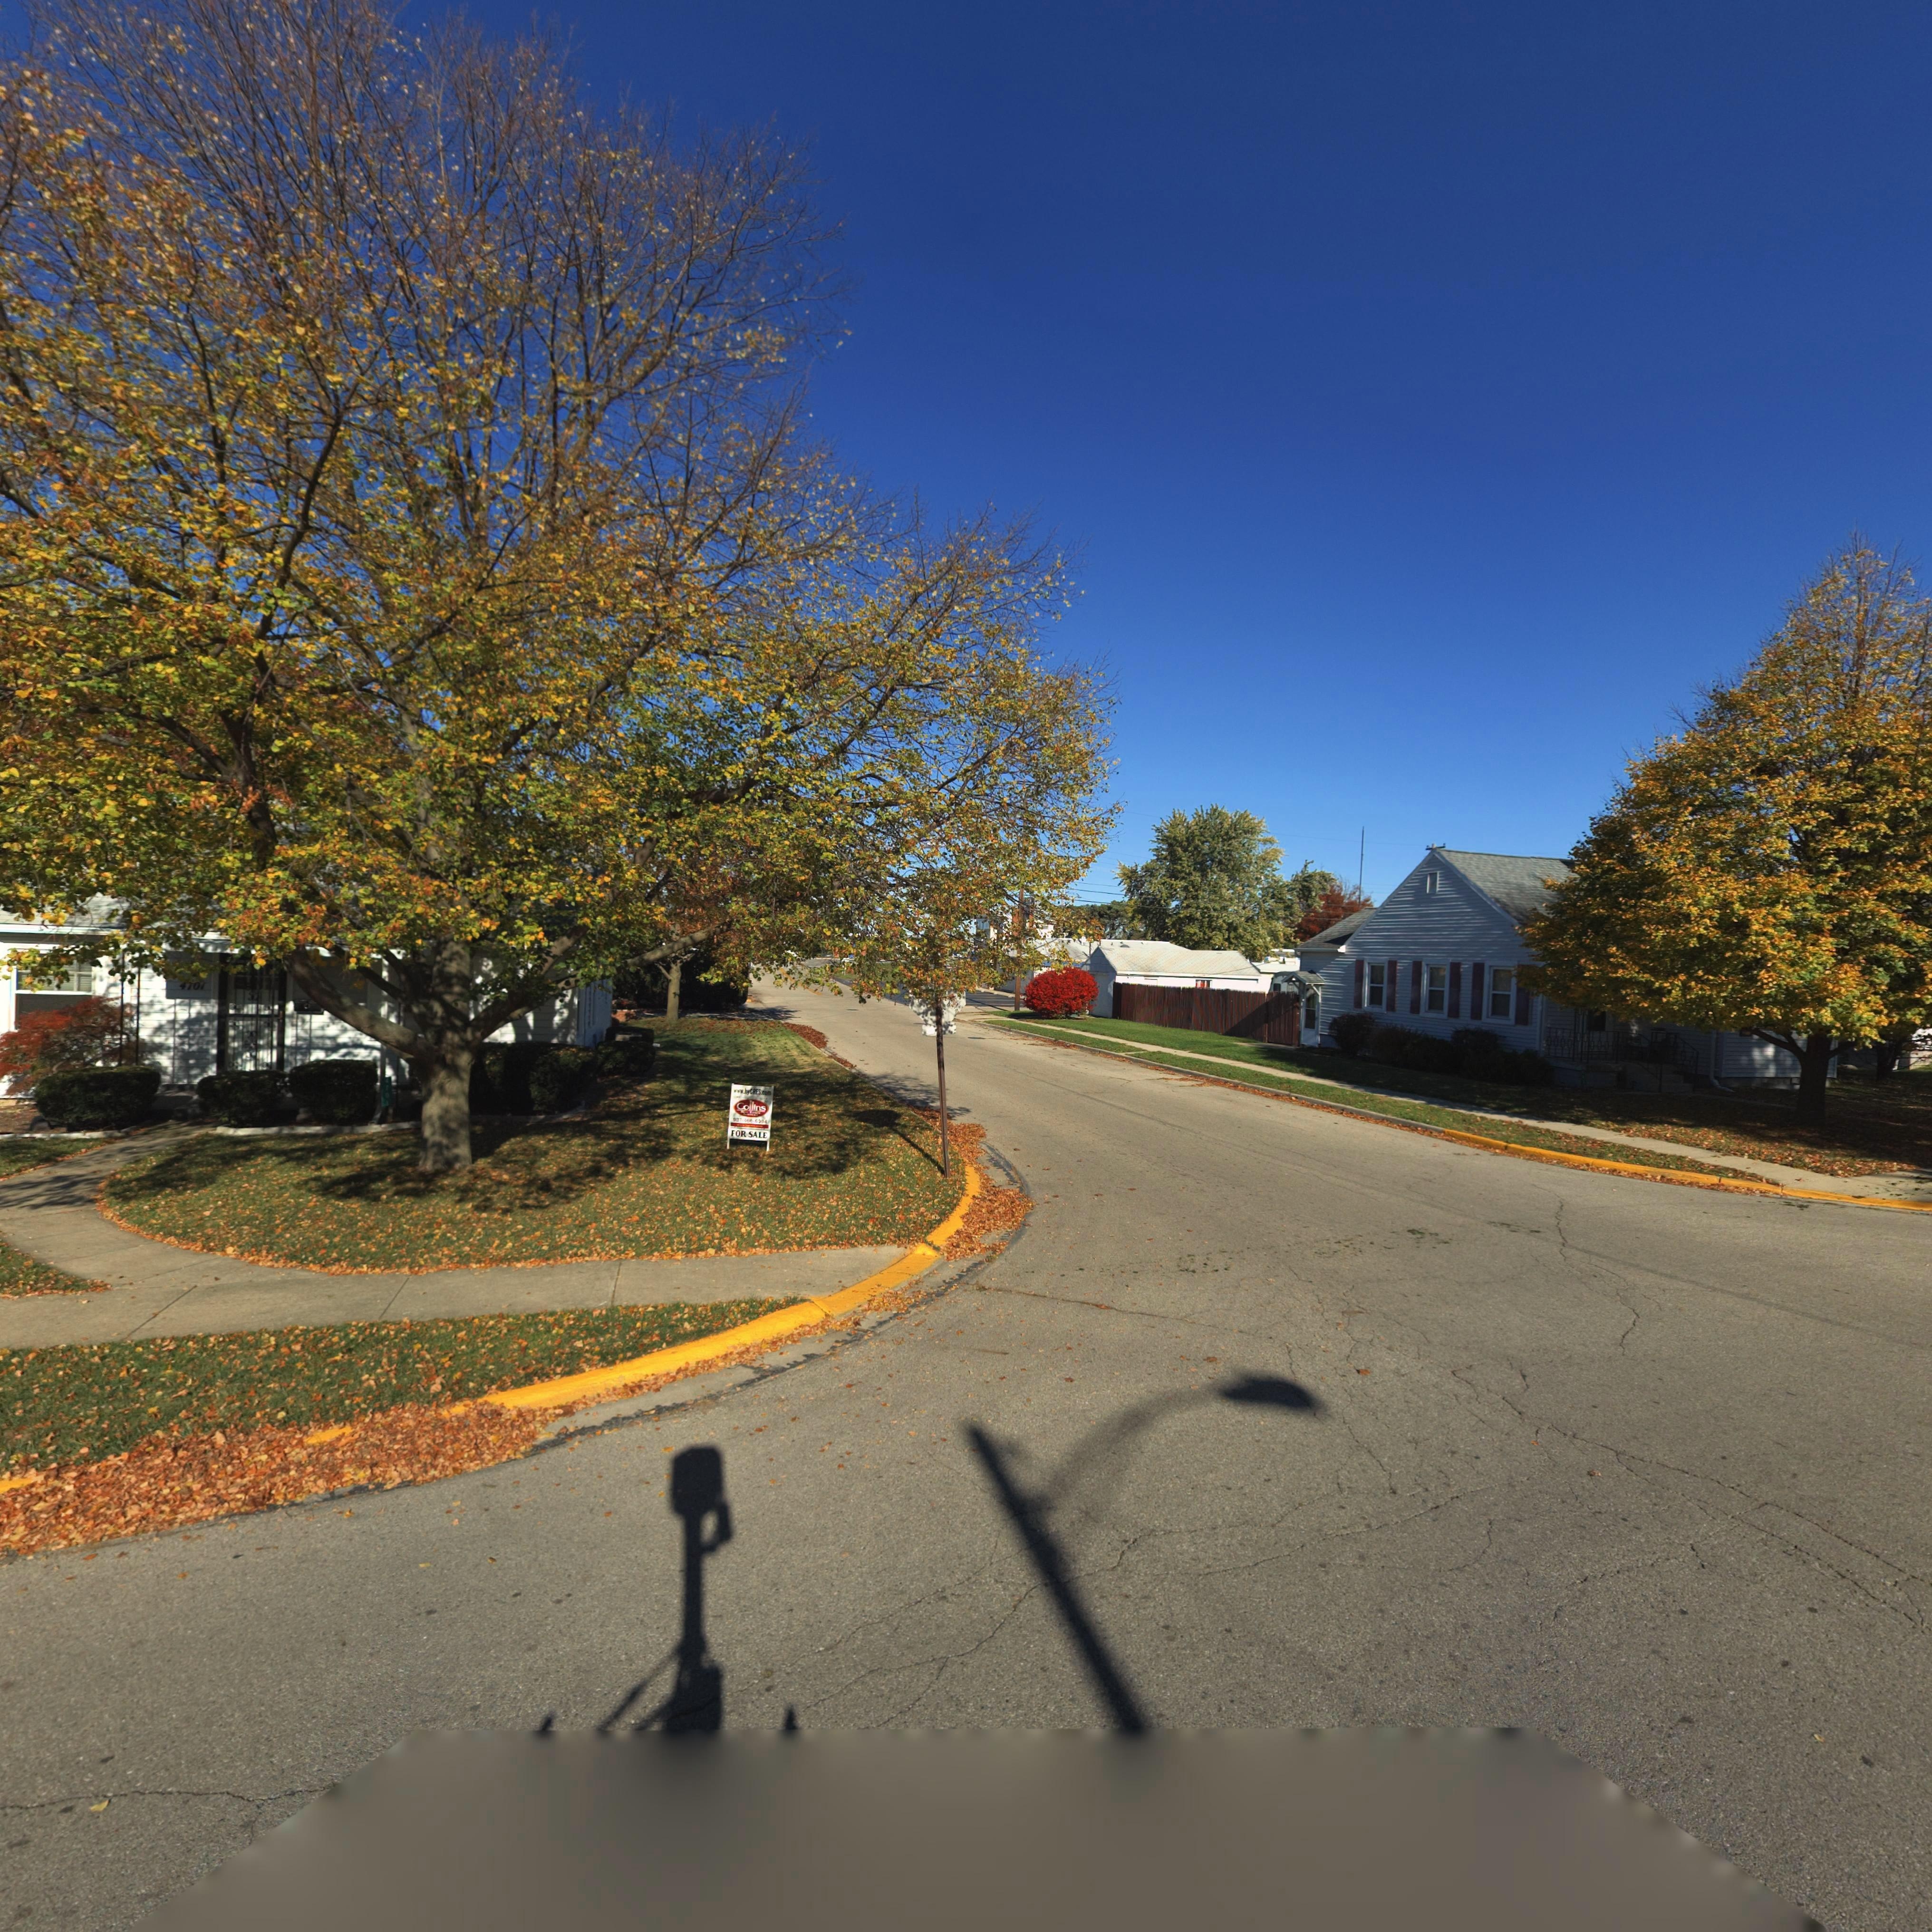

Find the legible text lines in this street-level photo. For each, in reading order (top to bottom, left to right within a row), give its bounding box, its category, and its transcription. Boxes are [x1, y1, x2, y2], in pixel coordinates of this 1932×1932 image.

[178, 981, 208, 991] StreetNumber: 4*01